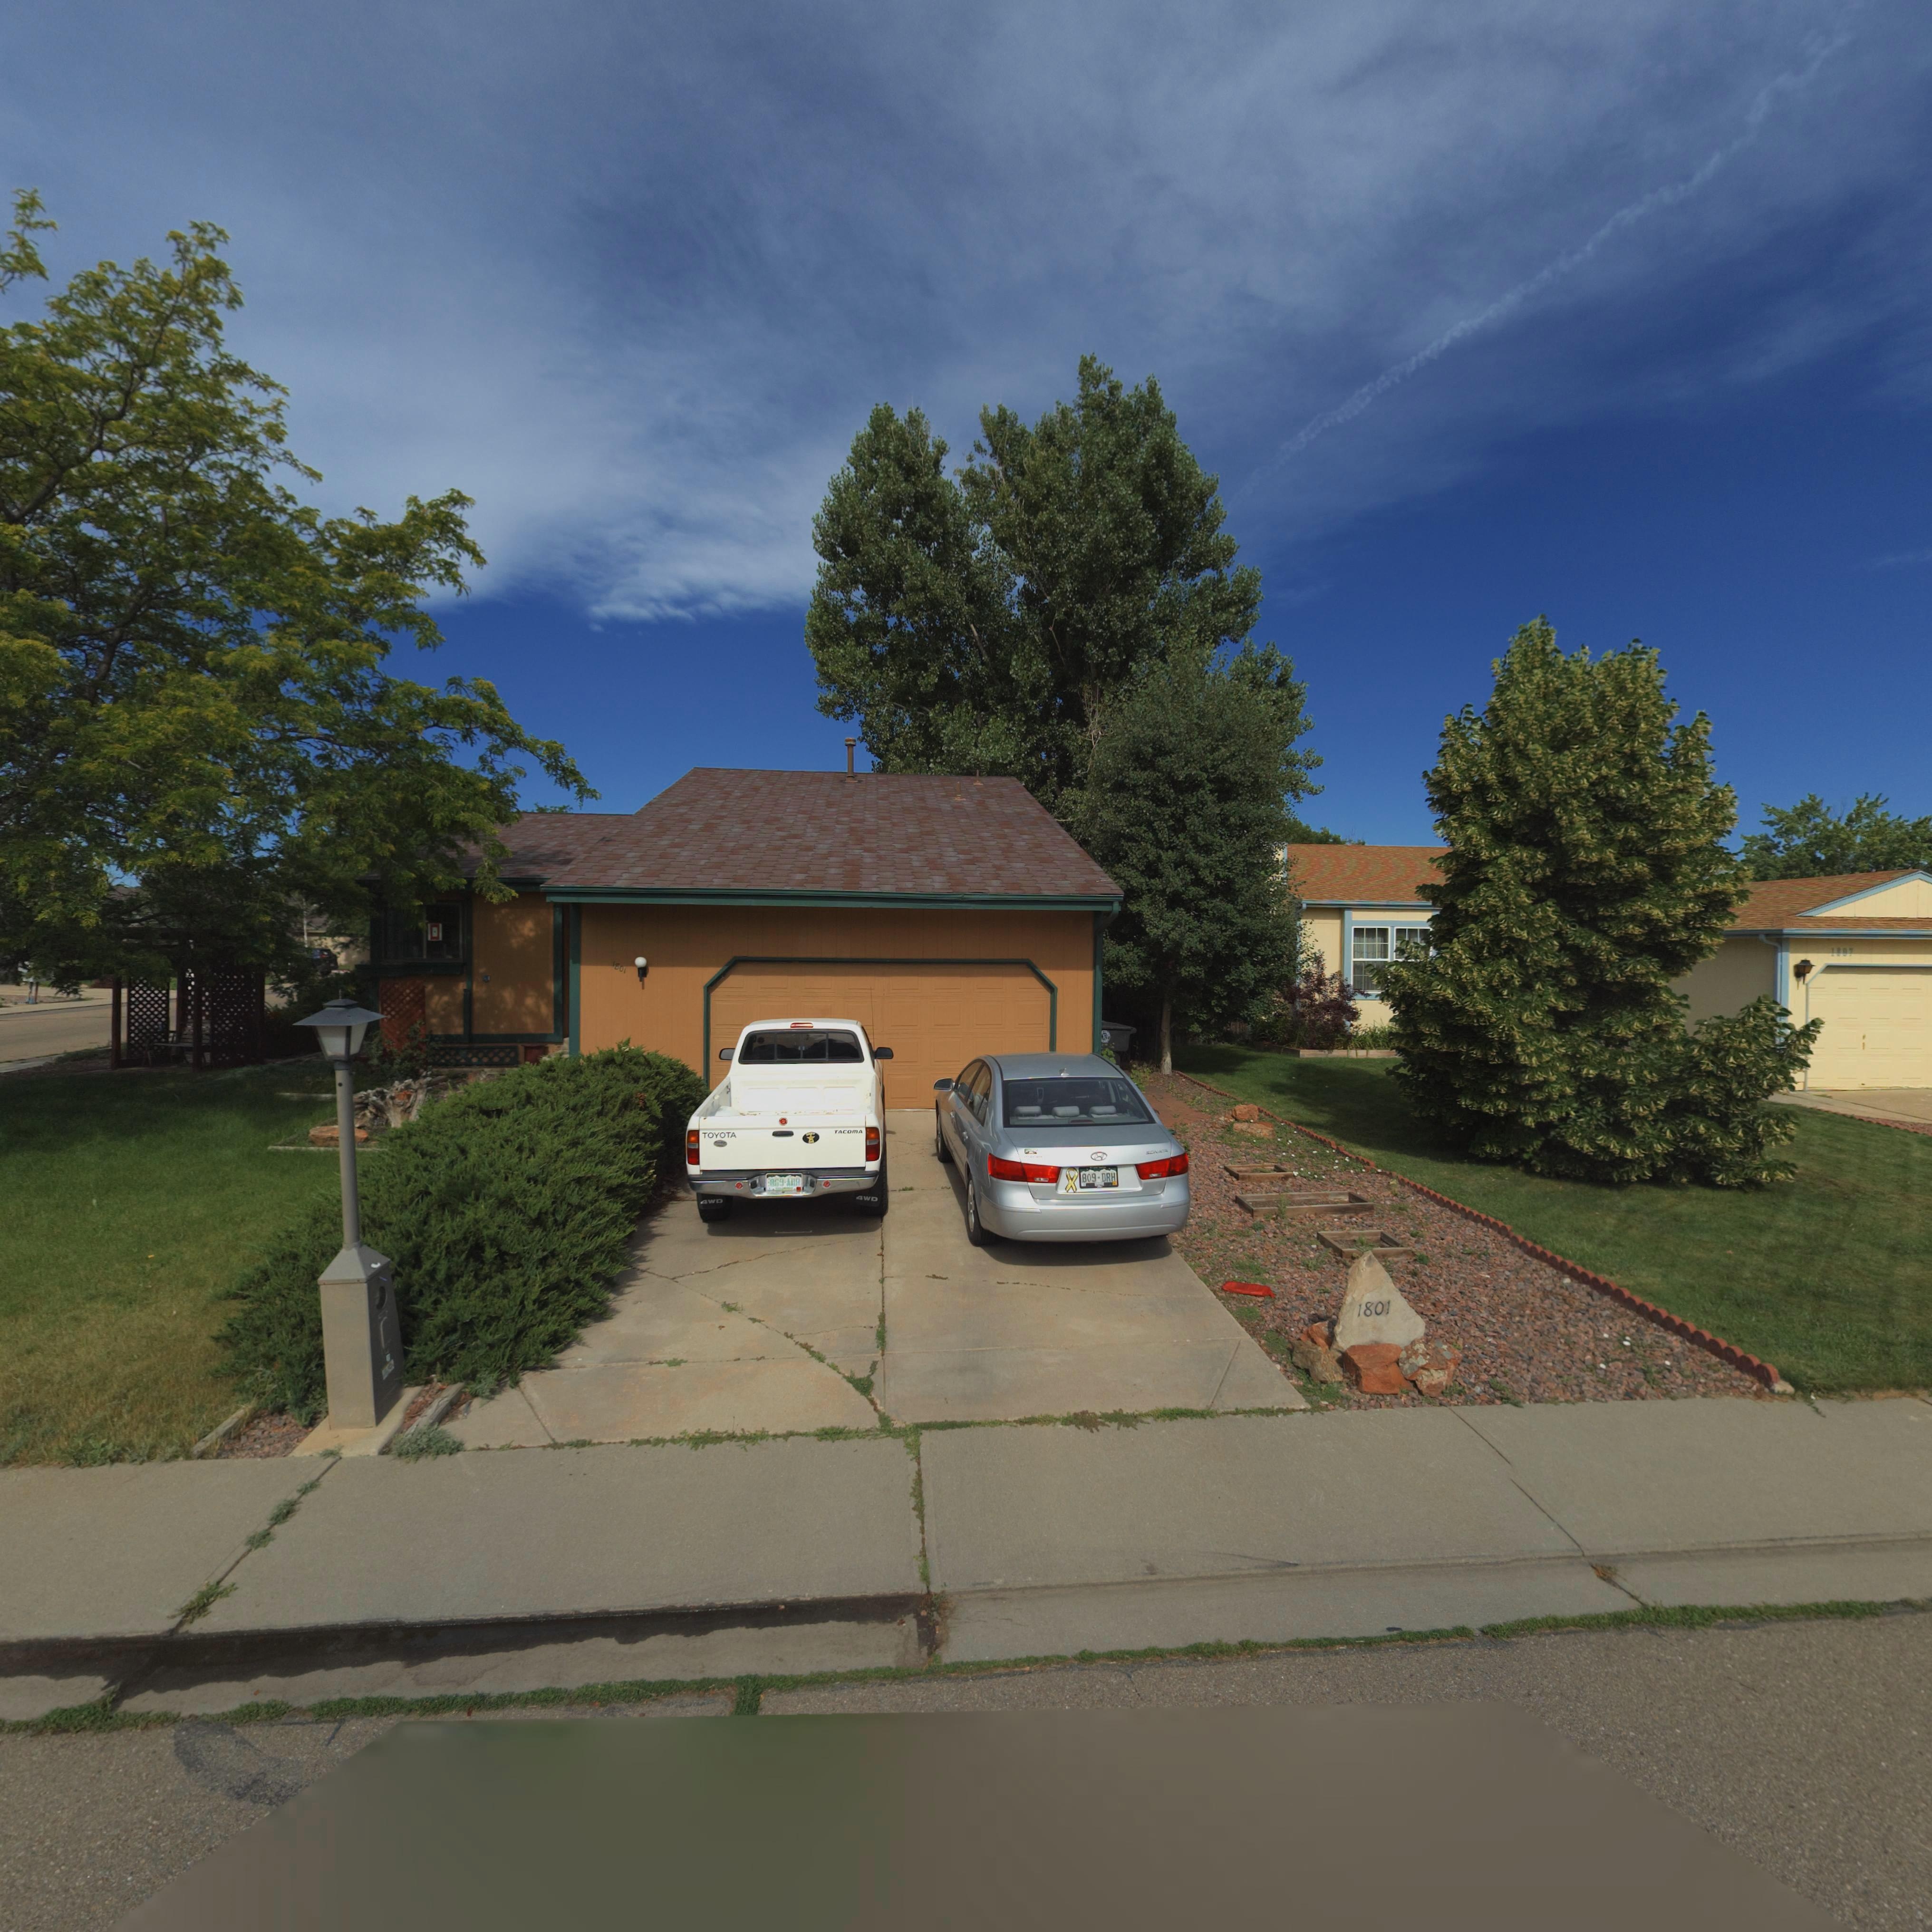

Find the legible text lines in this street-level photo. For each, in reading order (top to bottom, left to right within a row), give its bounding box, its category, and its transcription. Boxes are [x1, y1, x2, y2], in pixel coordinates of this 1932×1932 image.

[1830, 947, 1854, 957] StreetNumber: 1807
[611, 959, 627, 975] StreetNumber: 1801
[1356, 1298, 1391, 1318] StreetNumber: 1801